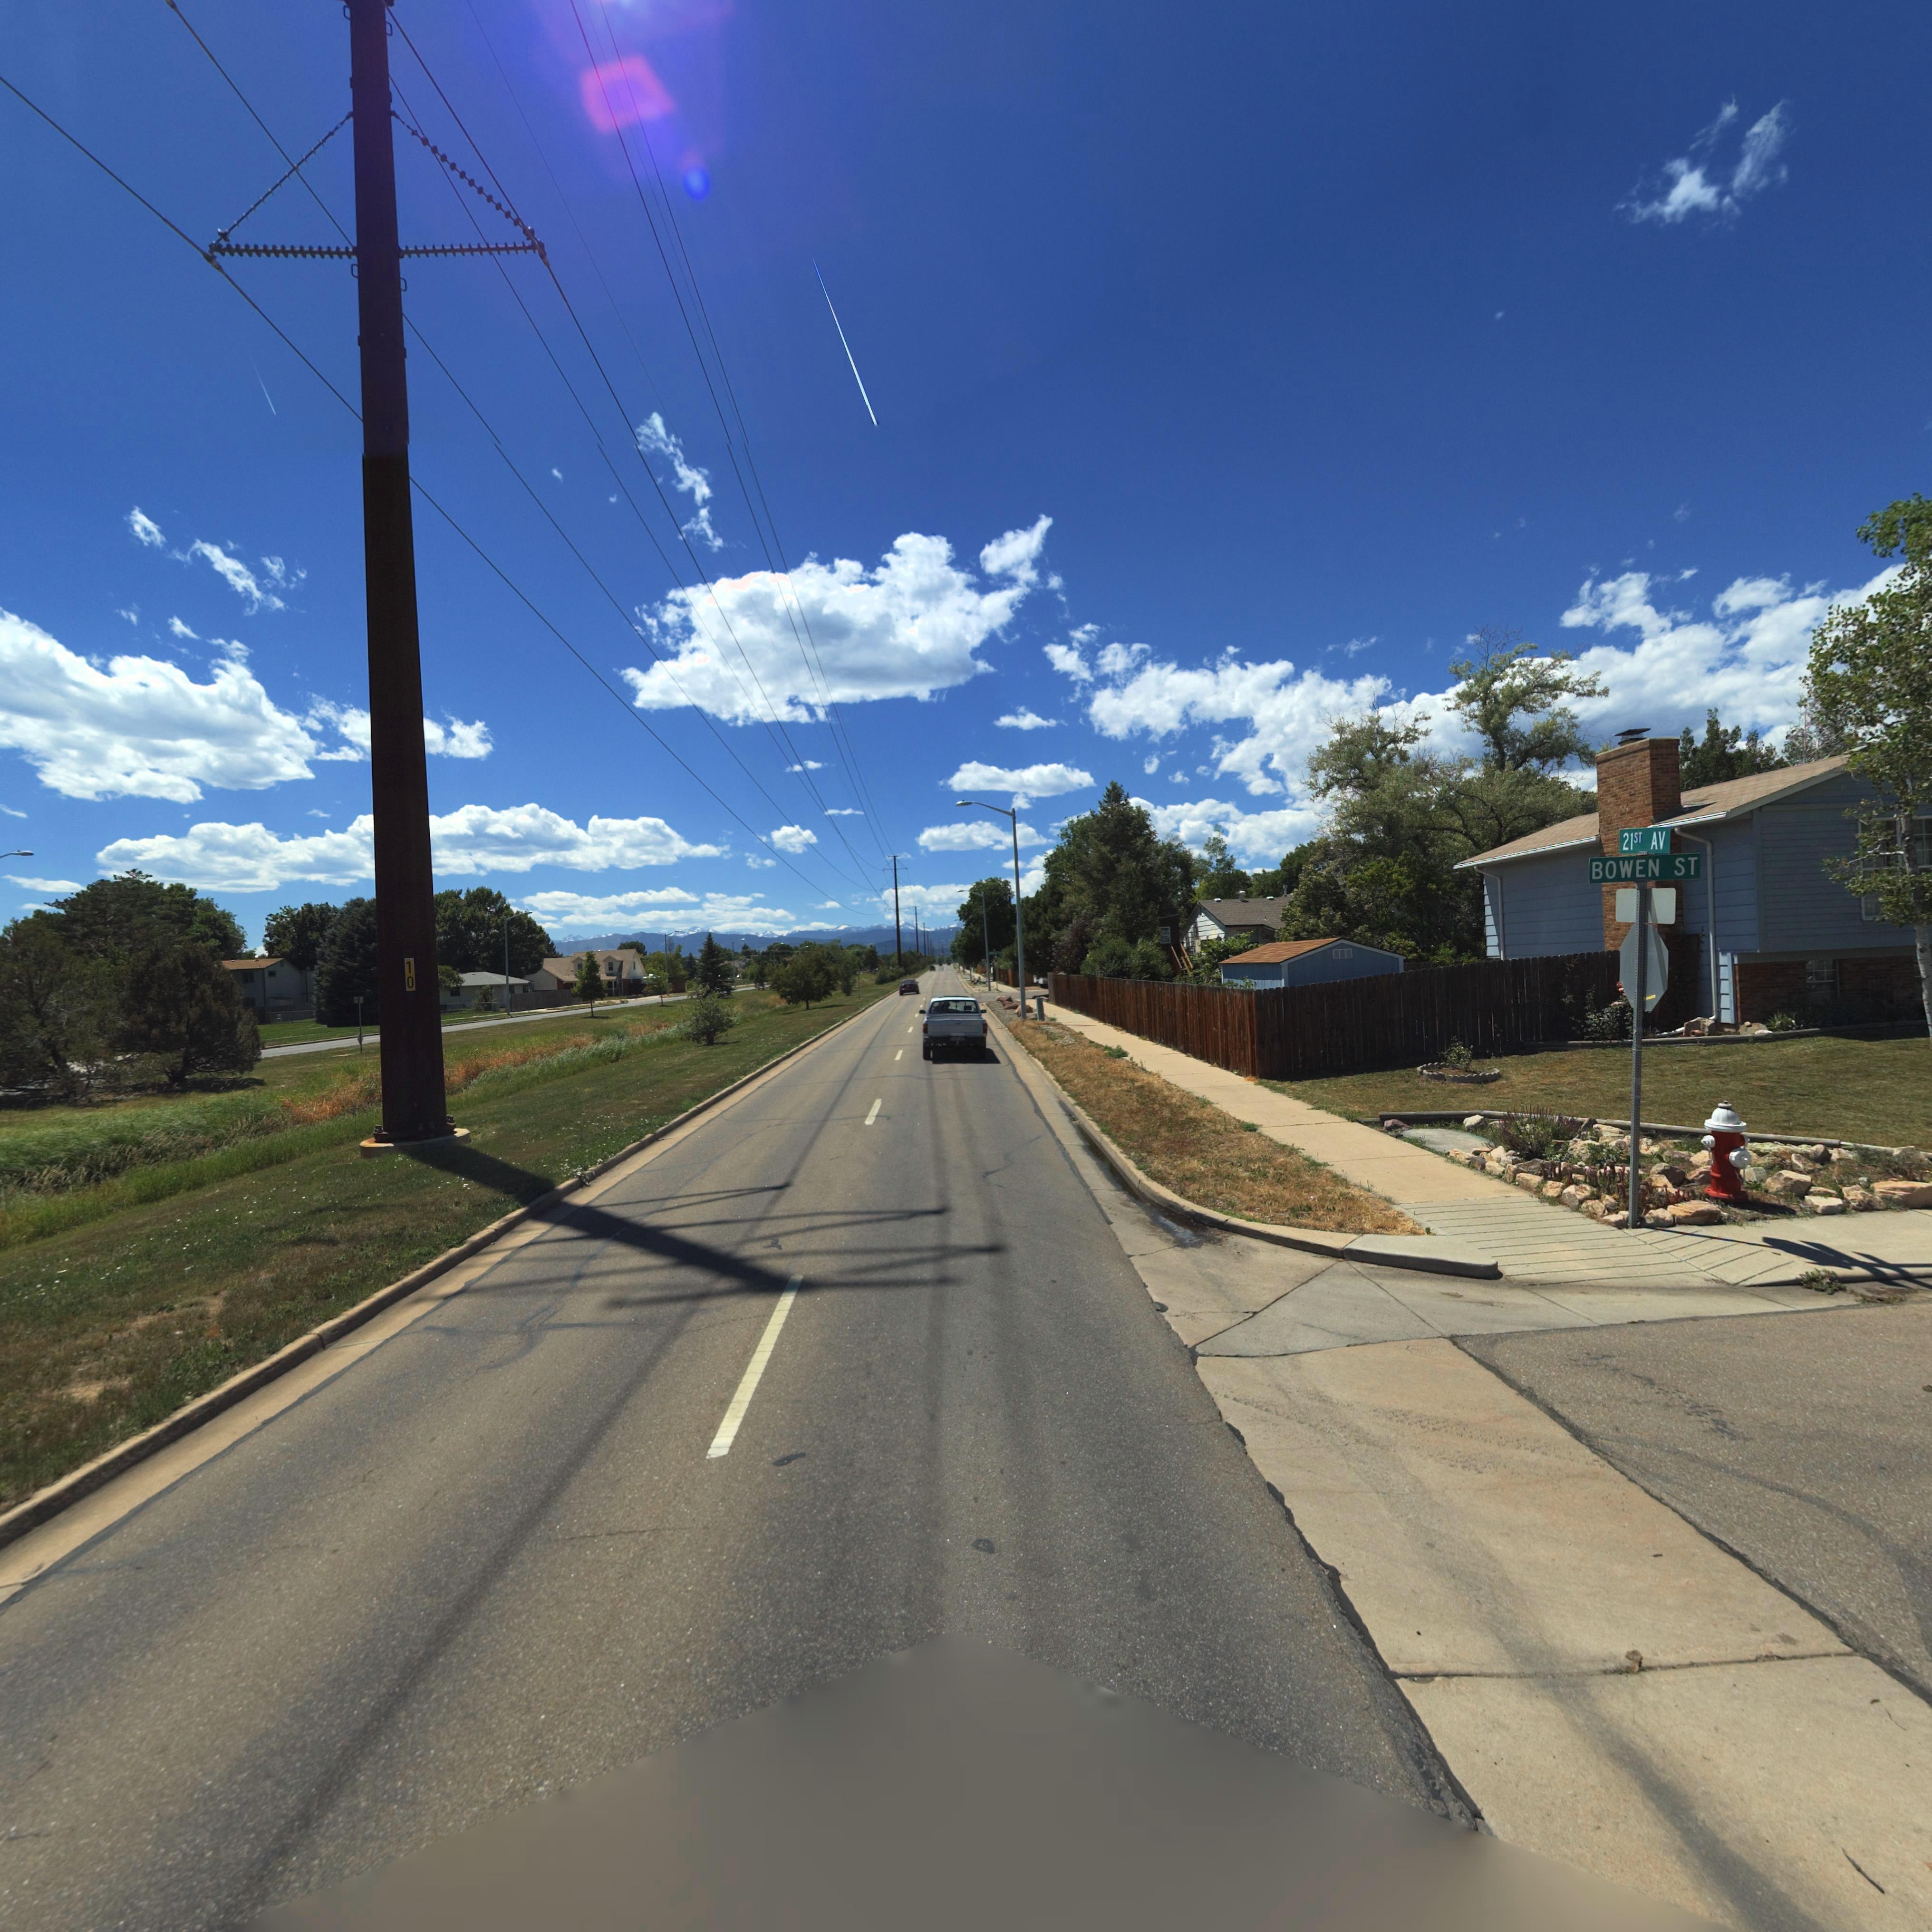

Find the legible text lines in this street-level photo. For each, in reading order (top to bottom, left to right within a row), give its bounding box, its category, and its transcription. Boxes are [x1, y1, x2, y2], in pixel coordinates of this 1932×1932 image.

[1622, 830, 1666, 850] StreetName: 21ST AV
[1591, 854, 1699, 881] StreetName: BOWEN ST